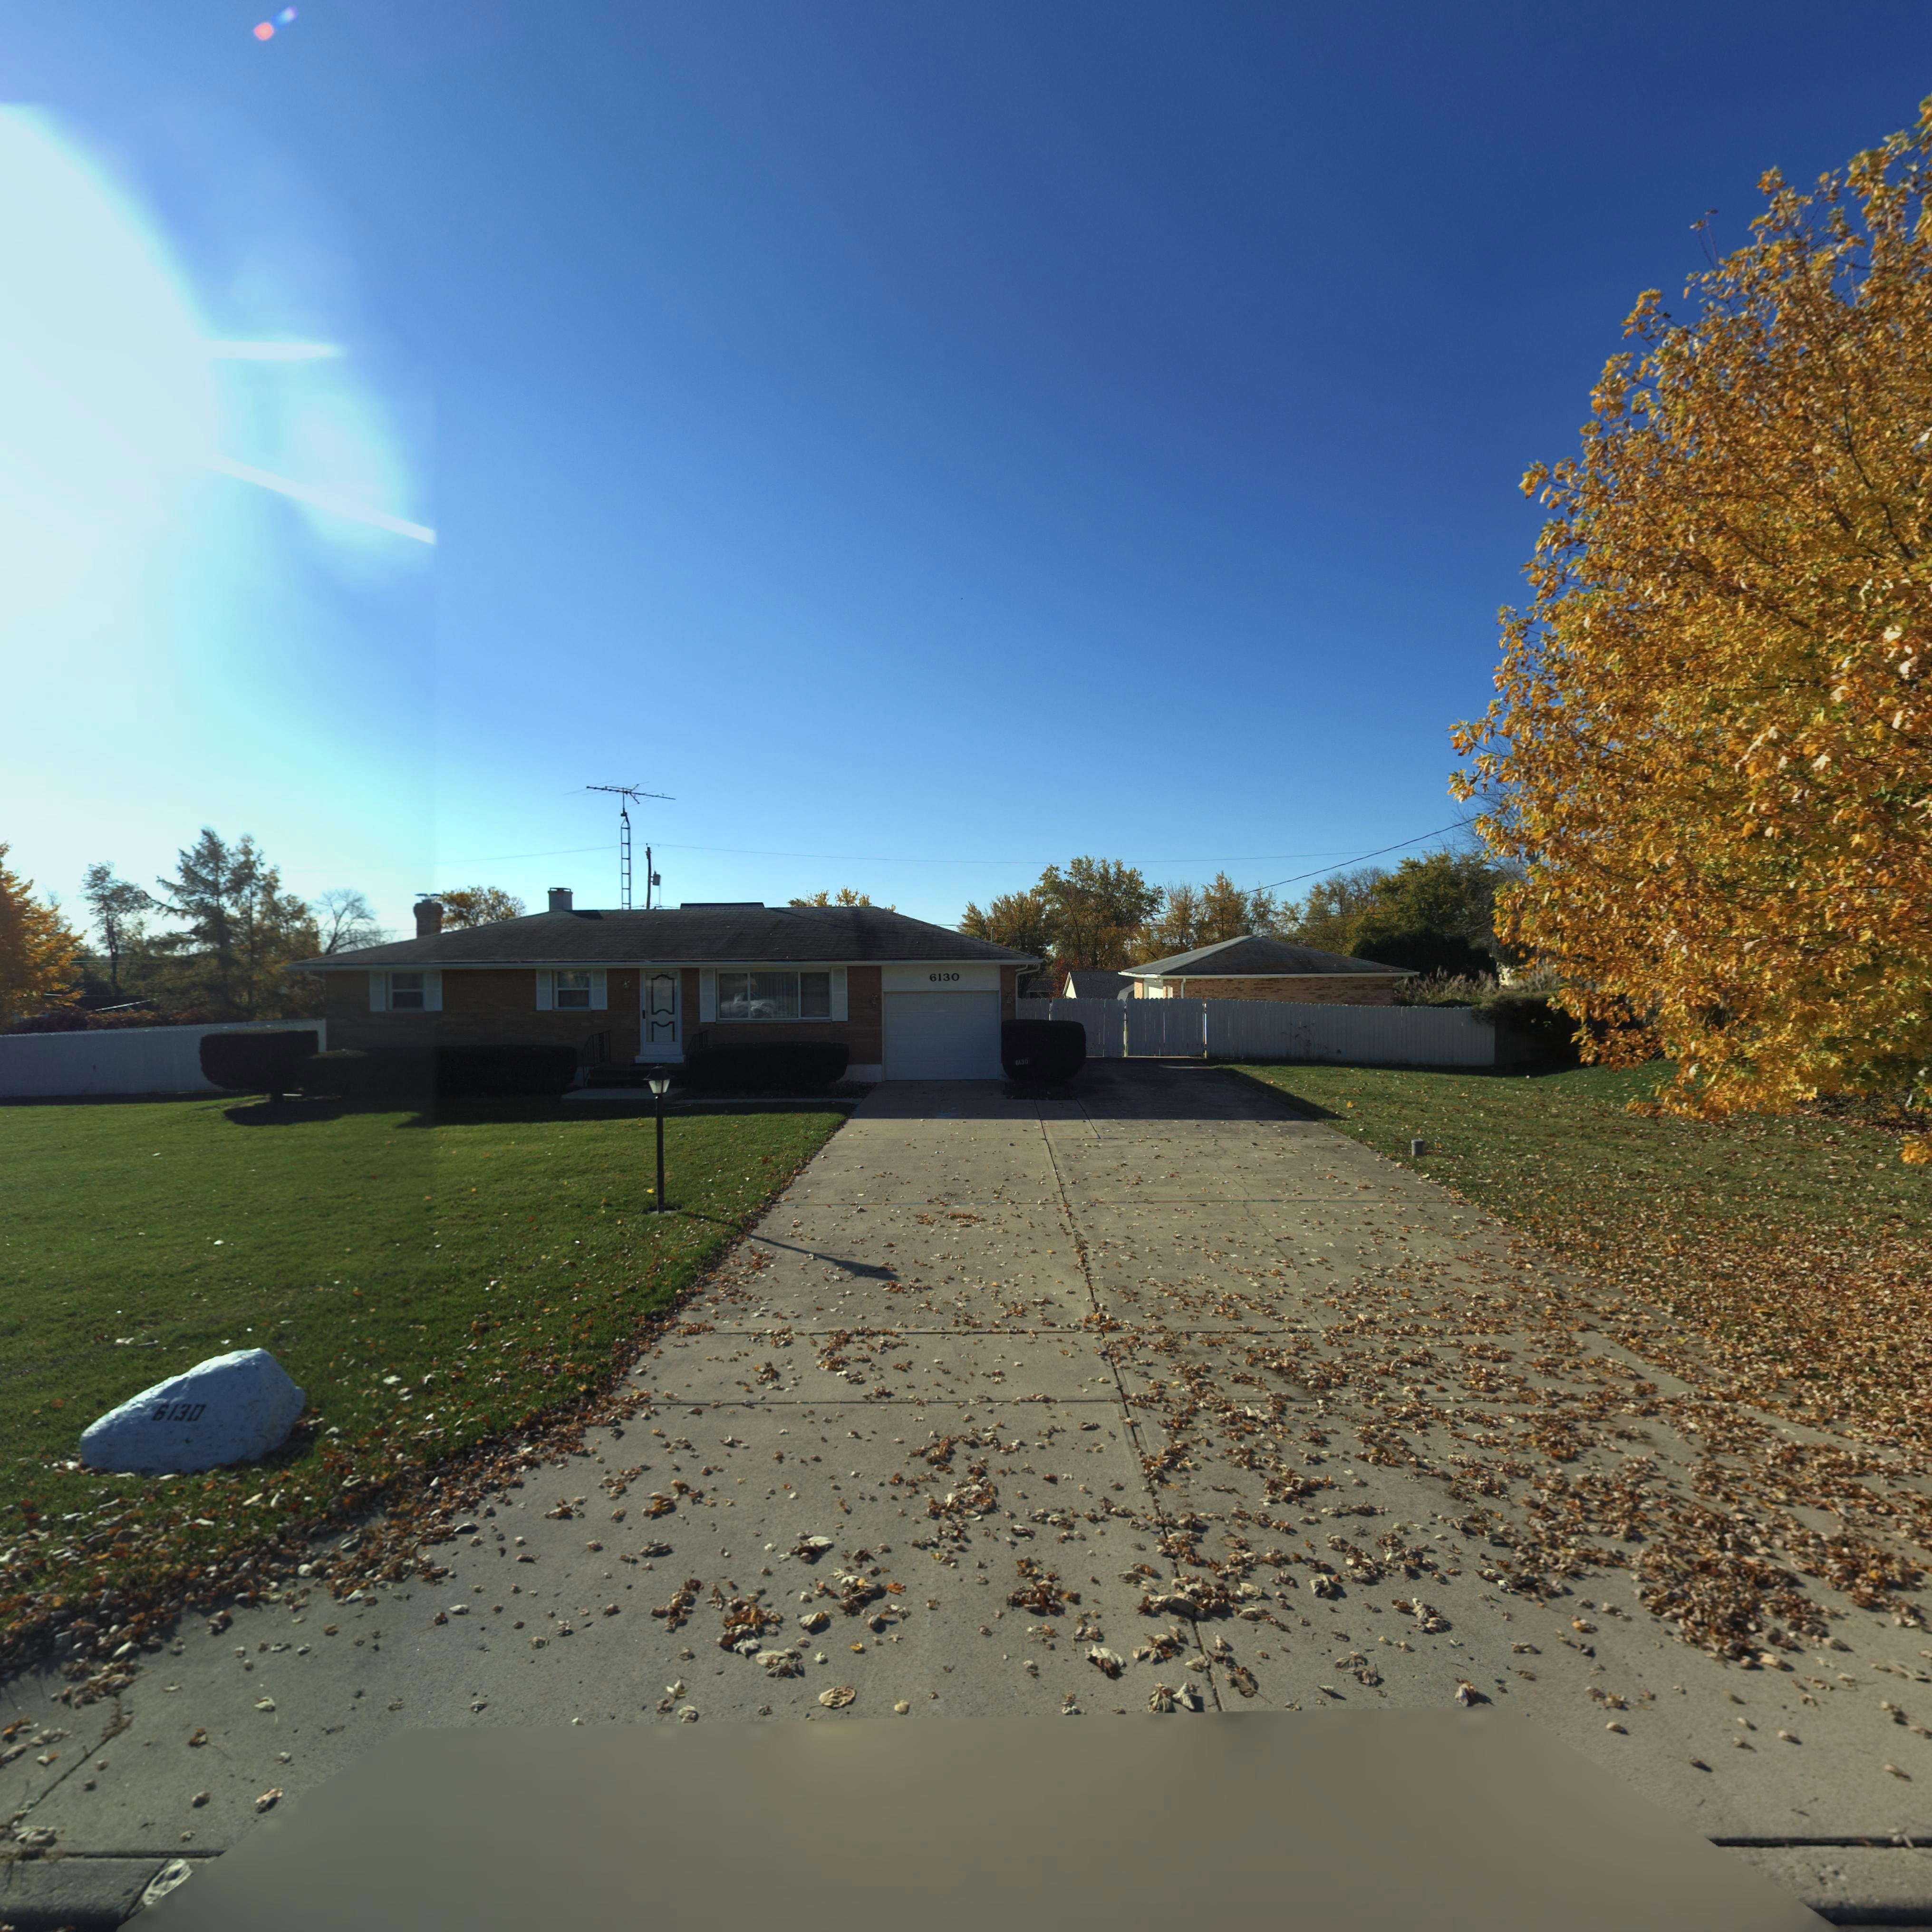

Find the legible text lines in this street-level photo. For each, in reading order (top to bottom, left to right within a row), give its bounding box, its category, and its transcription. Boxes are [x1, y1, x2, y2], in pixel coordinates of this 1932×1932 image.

[929, 973, 960, 982] StreetNumber: 6130
[1014, 1058, 1029, 1066] StreetNumber: 6130
[149, 1403, 209, 1423] StreetNumber: 6130